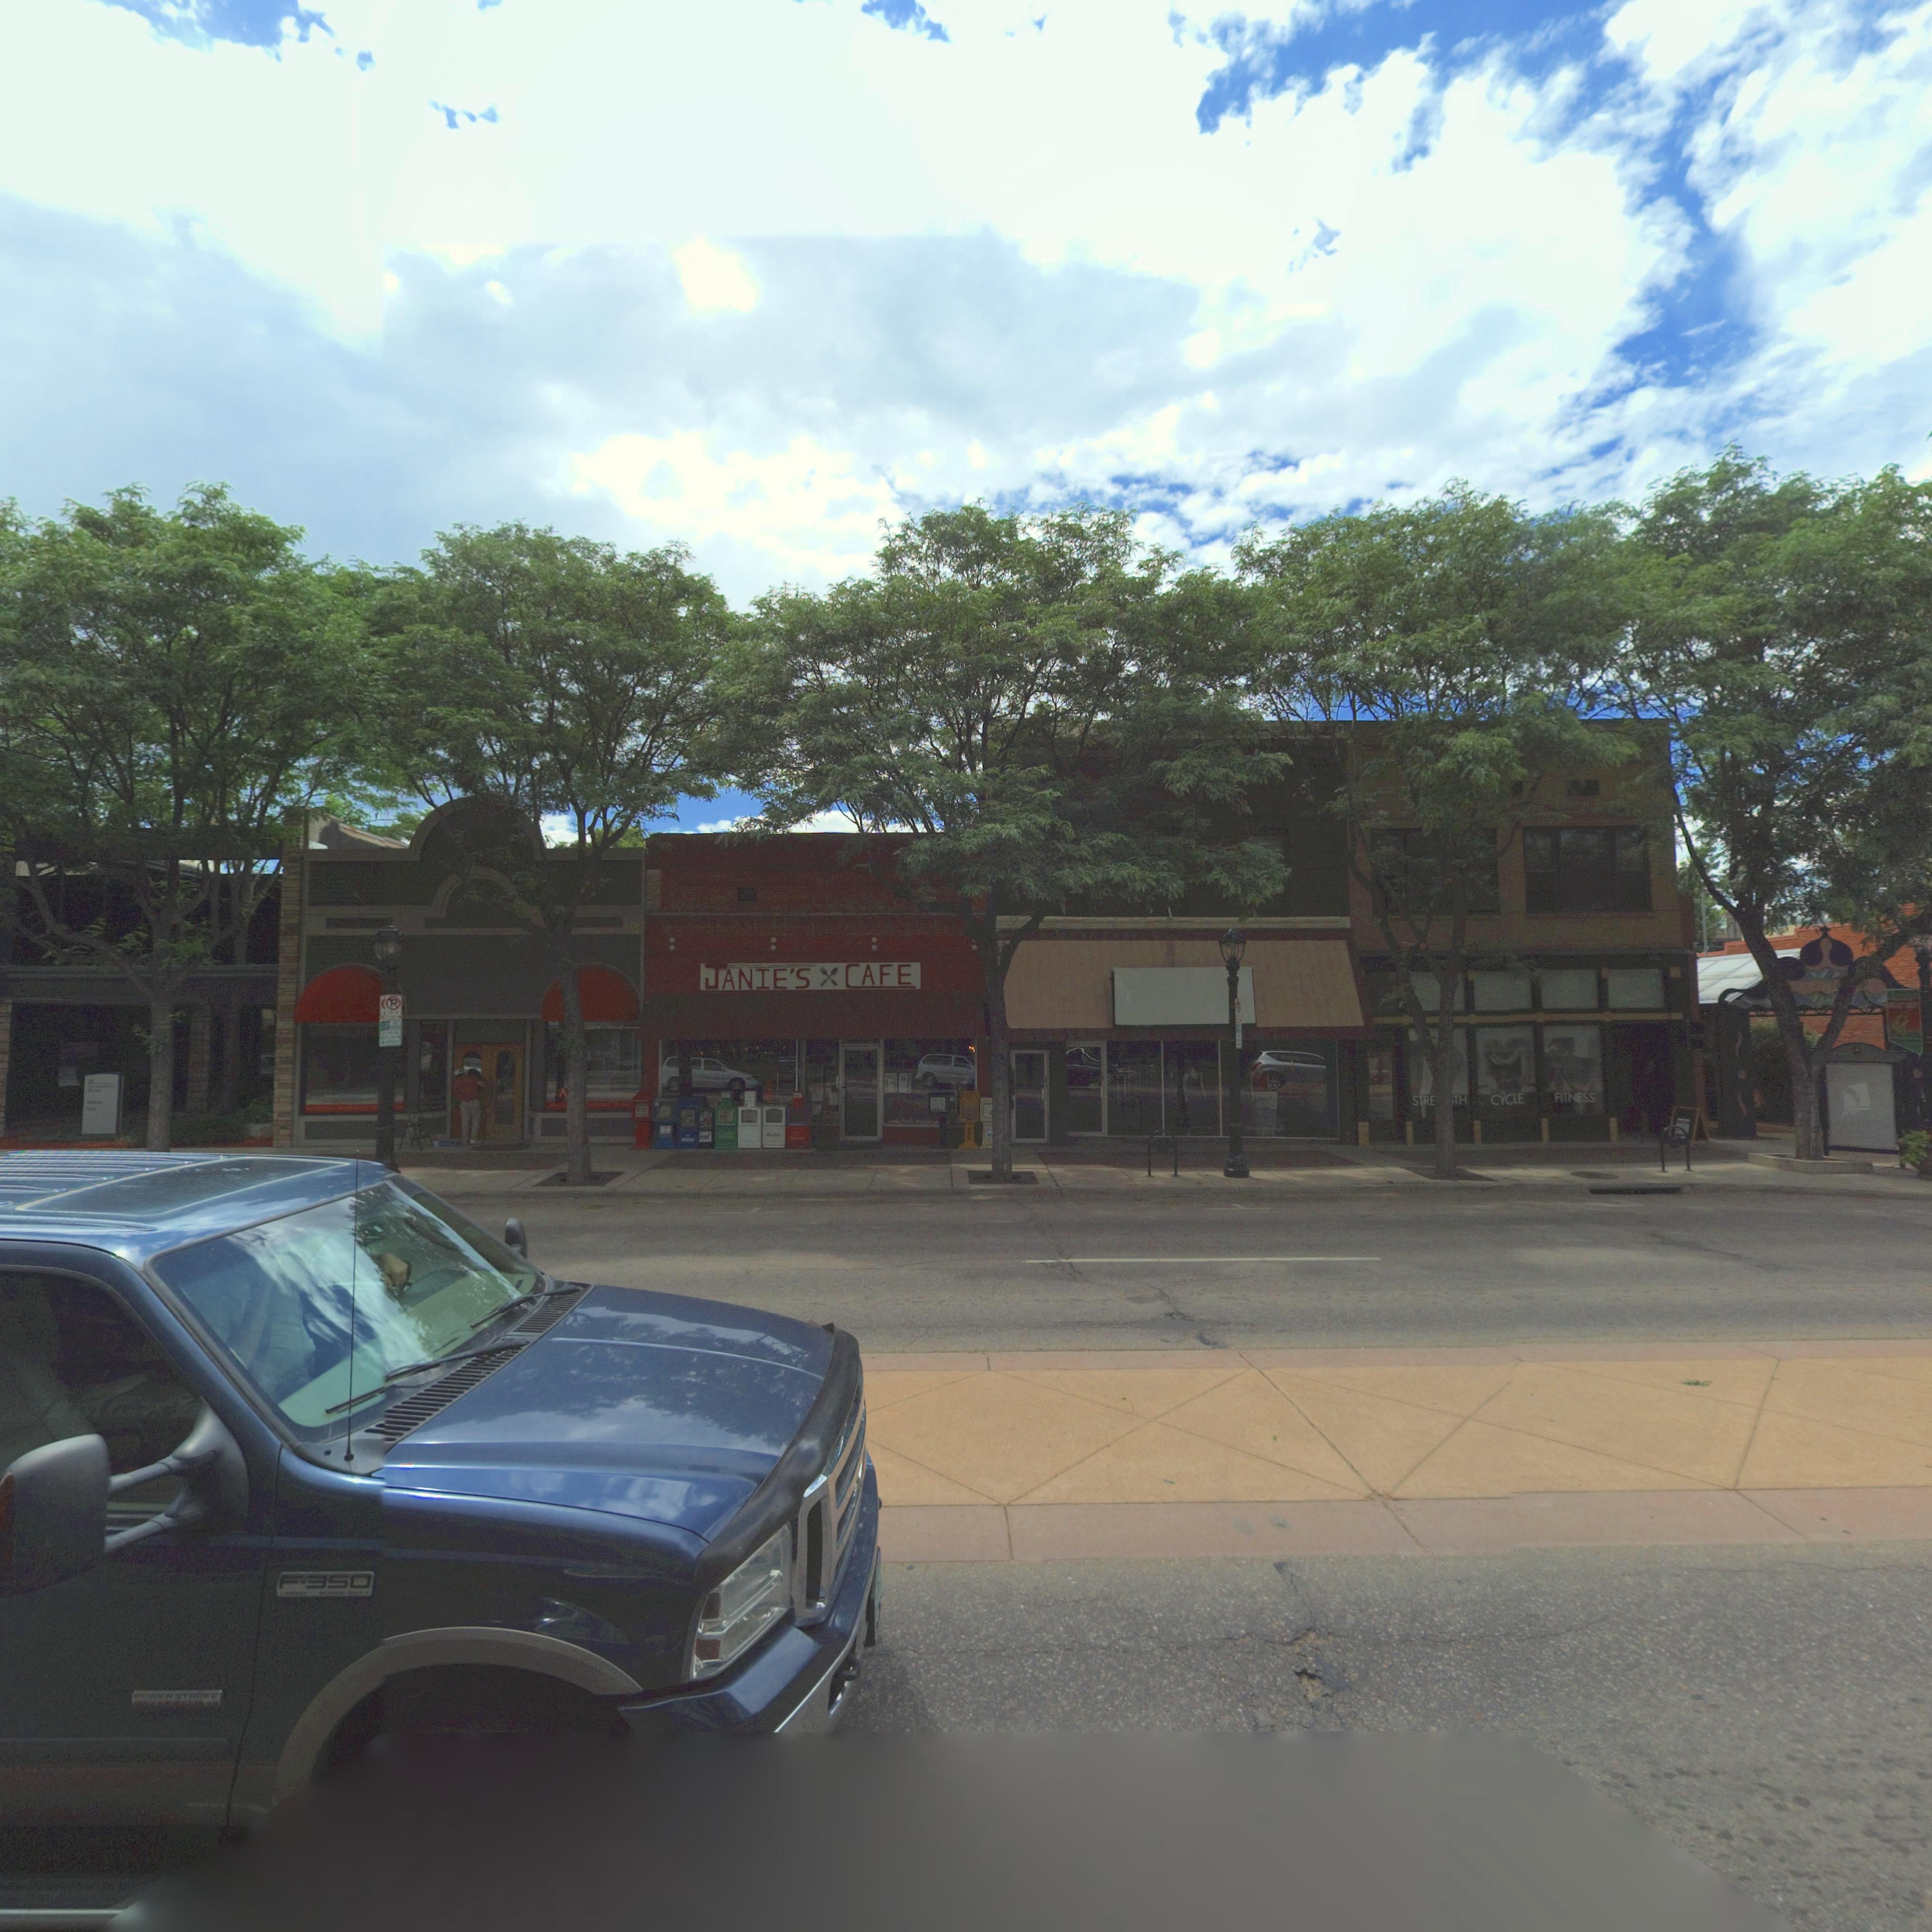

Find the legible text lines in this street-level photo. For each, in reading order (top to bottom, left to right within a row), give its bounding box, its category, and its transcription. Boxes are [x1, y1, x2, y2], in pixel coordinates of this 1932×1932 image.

[704, 962, 917, 990] BusinessName: JANIE'S CAFE